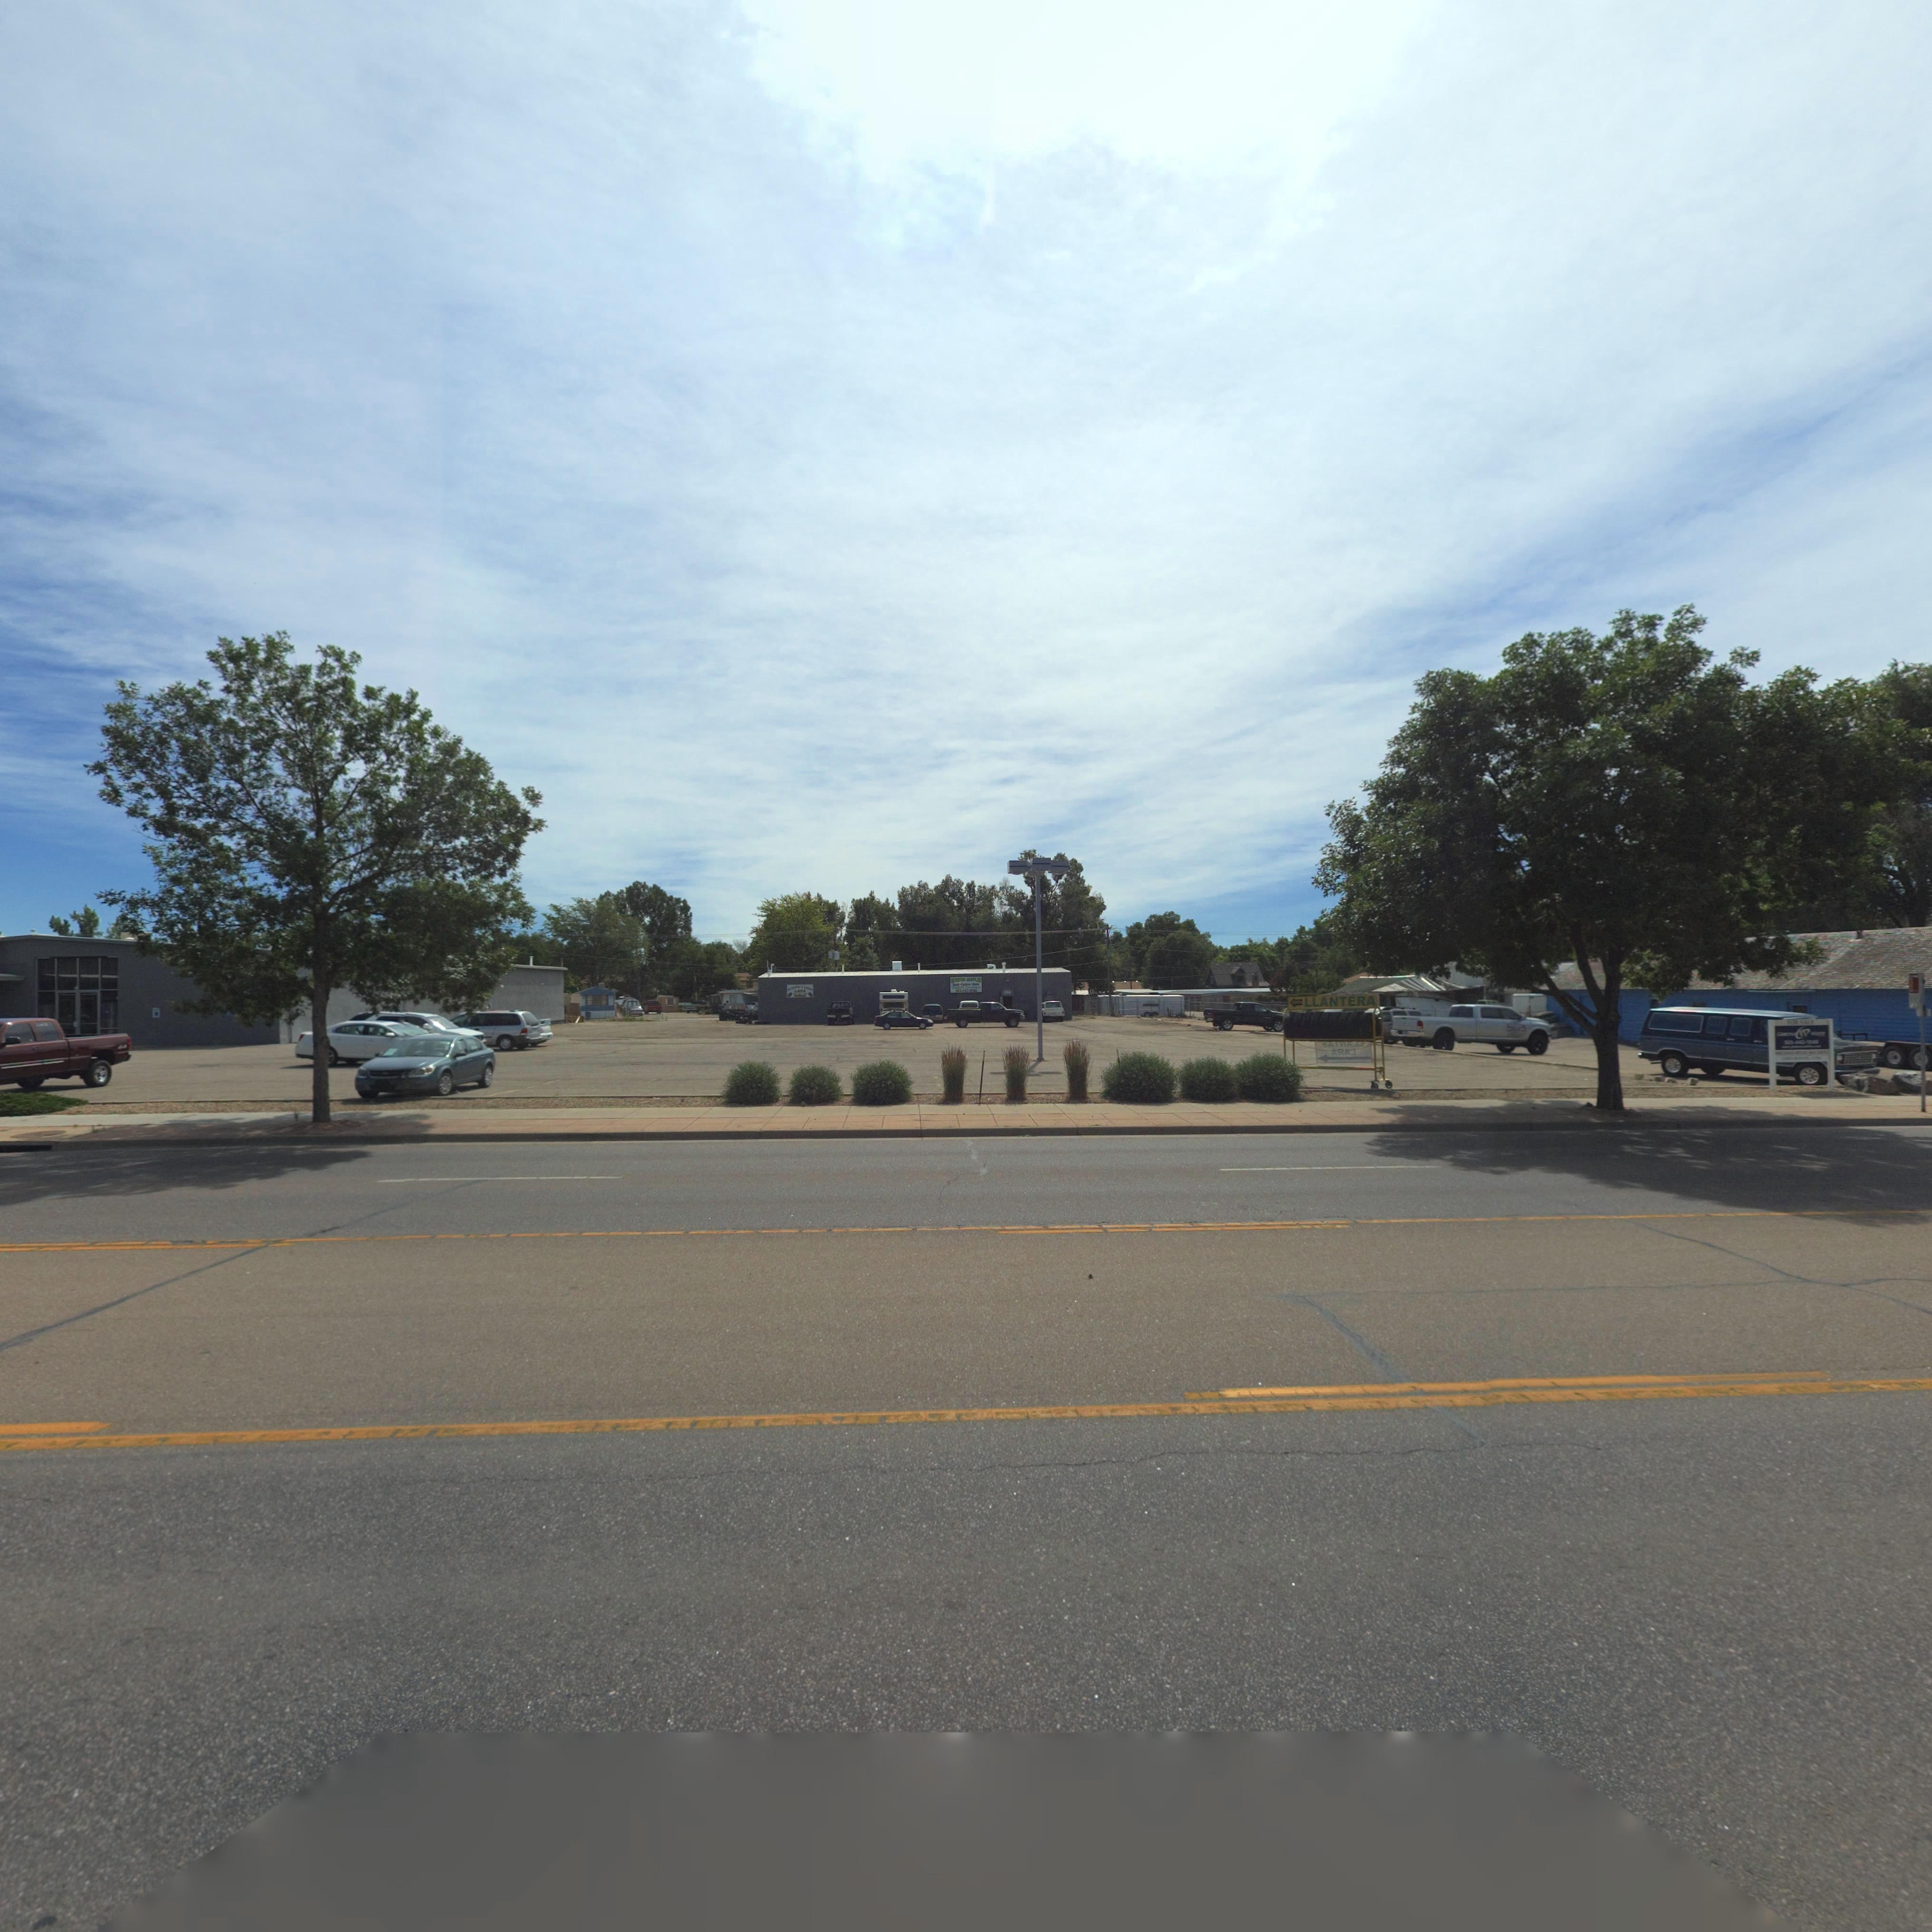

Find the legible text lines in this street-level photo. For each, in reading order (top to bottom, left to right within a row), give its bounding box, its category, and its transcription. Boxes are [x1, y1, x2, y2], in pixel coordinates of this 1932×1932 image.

[950, 977, 981, 983] BusinessName: ***STER MUFFLER
[1305, 995, 1375, 1006] BusinessName: LLANTERA